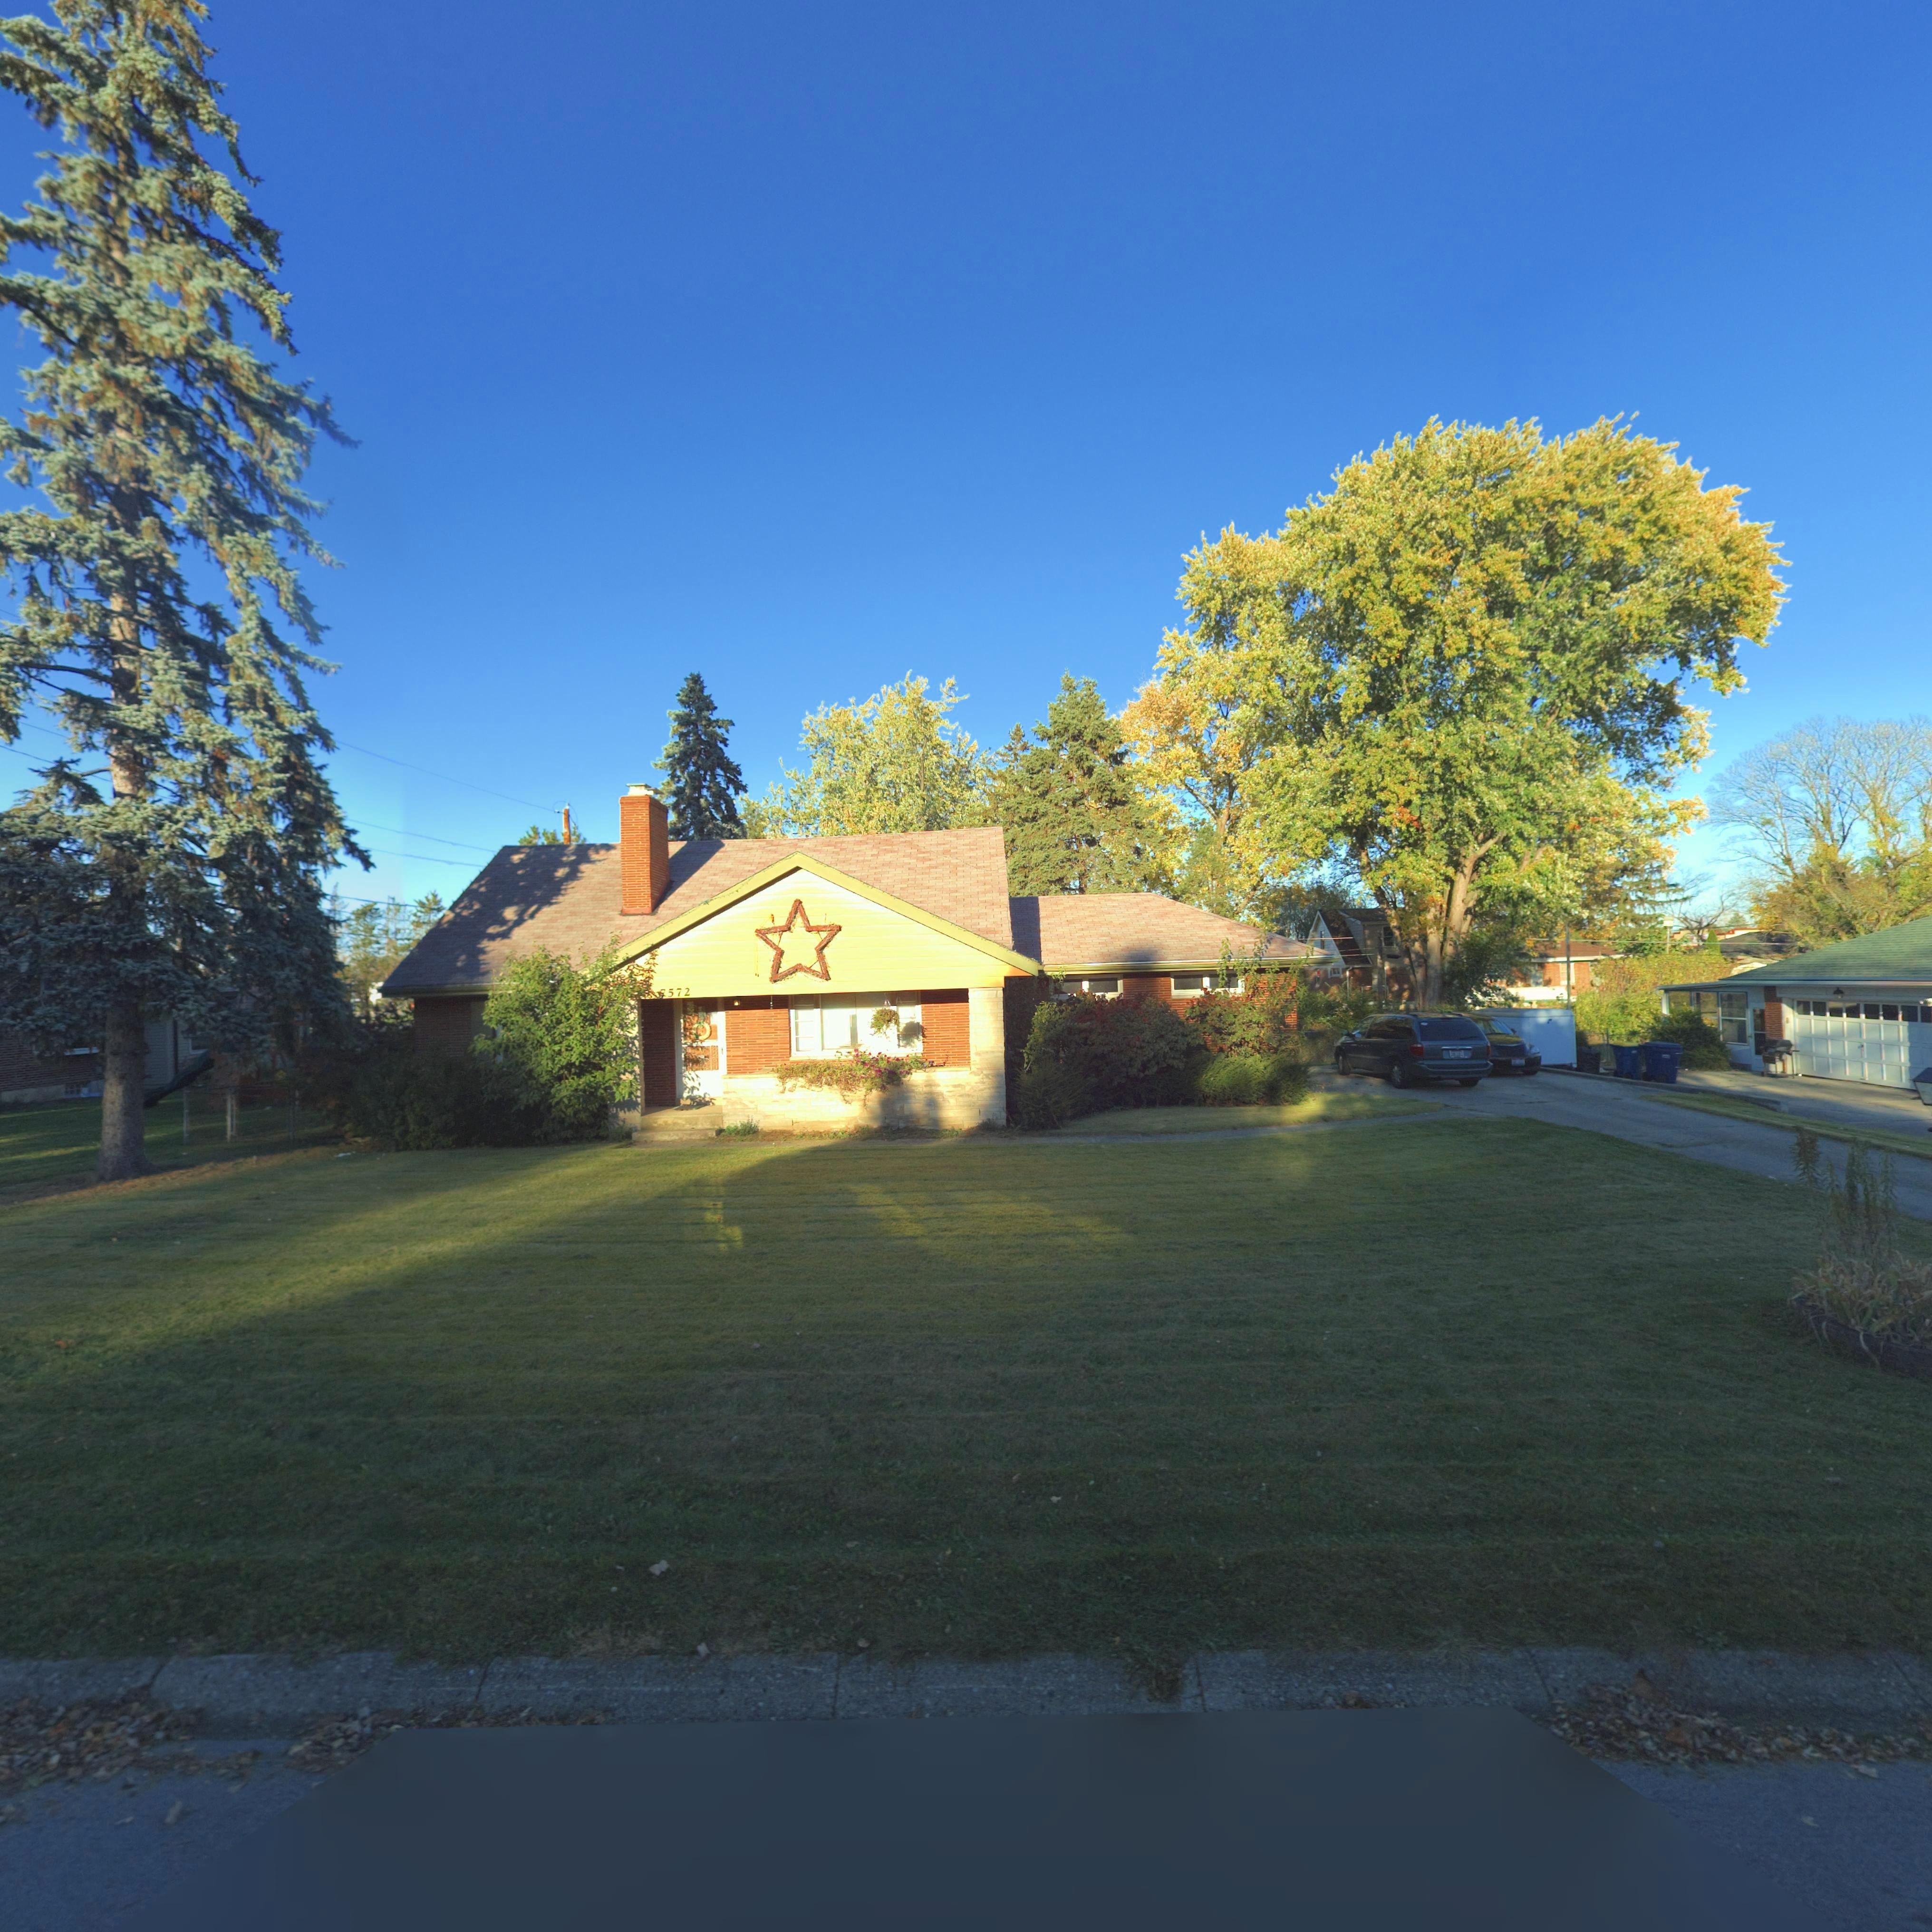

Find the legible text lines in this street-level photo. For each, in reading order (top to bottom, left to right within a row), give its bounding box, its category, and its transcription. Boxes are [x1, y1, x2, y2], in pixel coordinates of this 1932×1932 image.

[659, 986, 691, 1000] StreetNumber: 7572